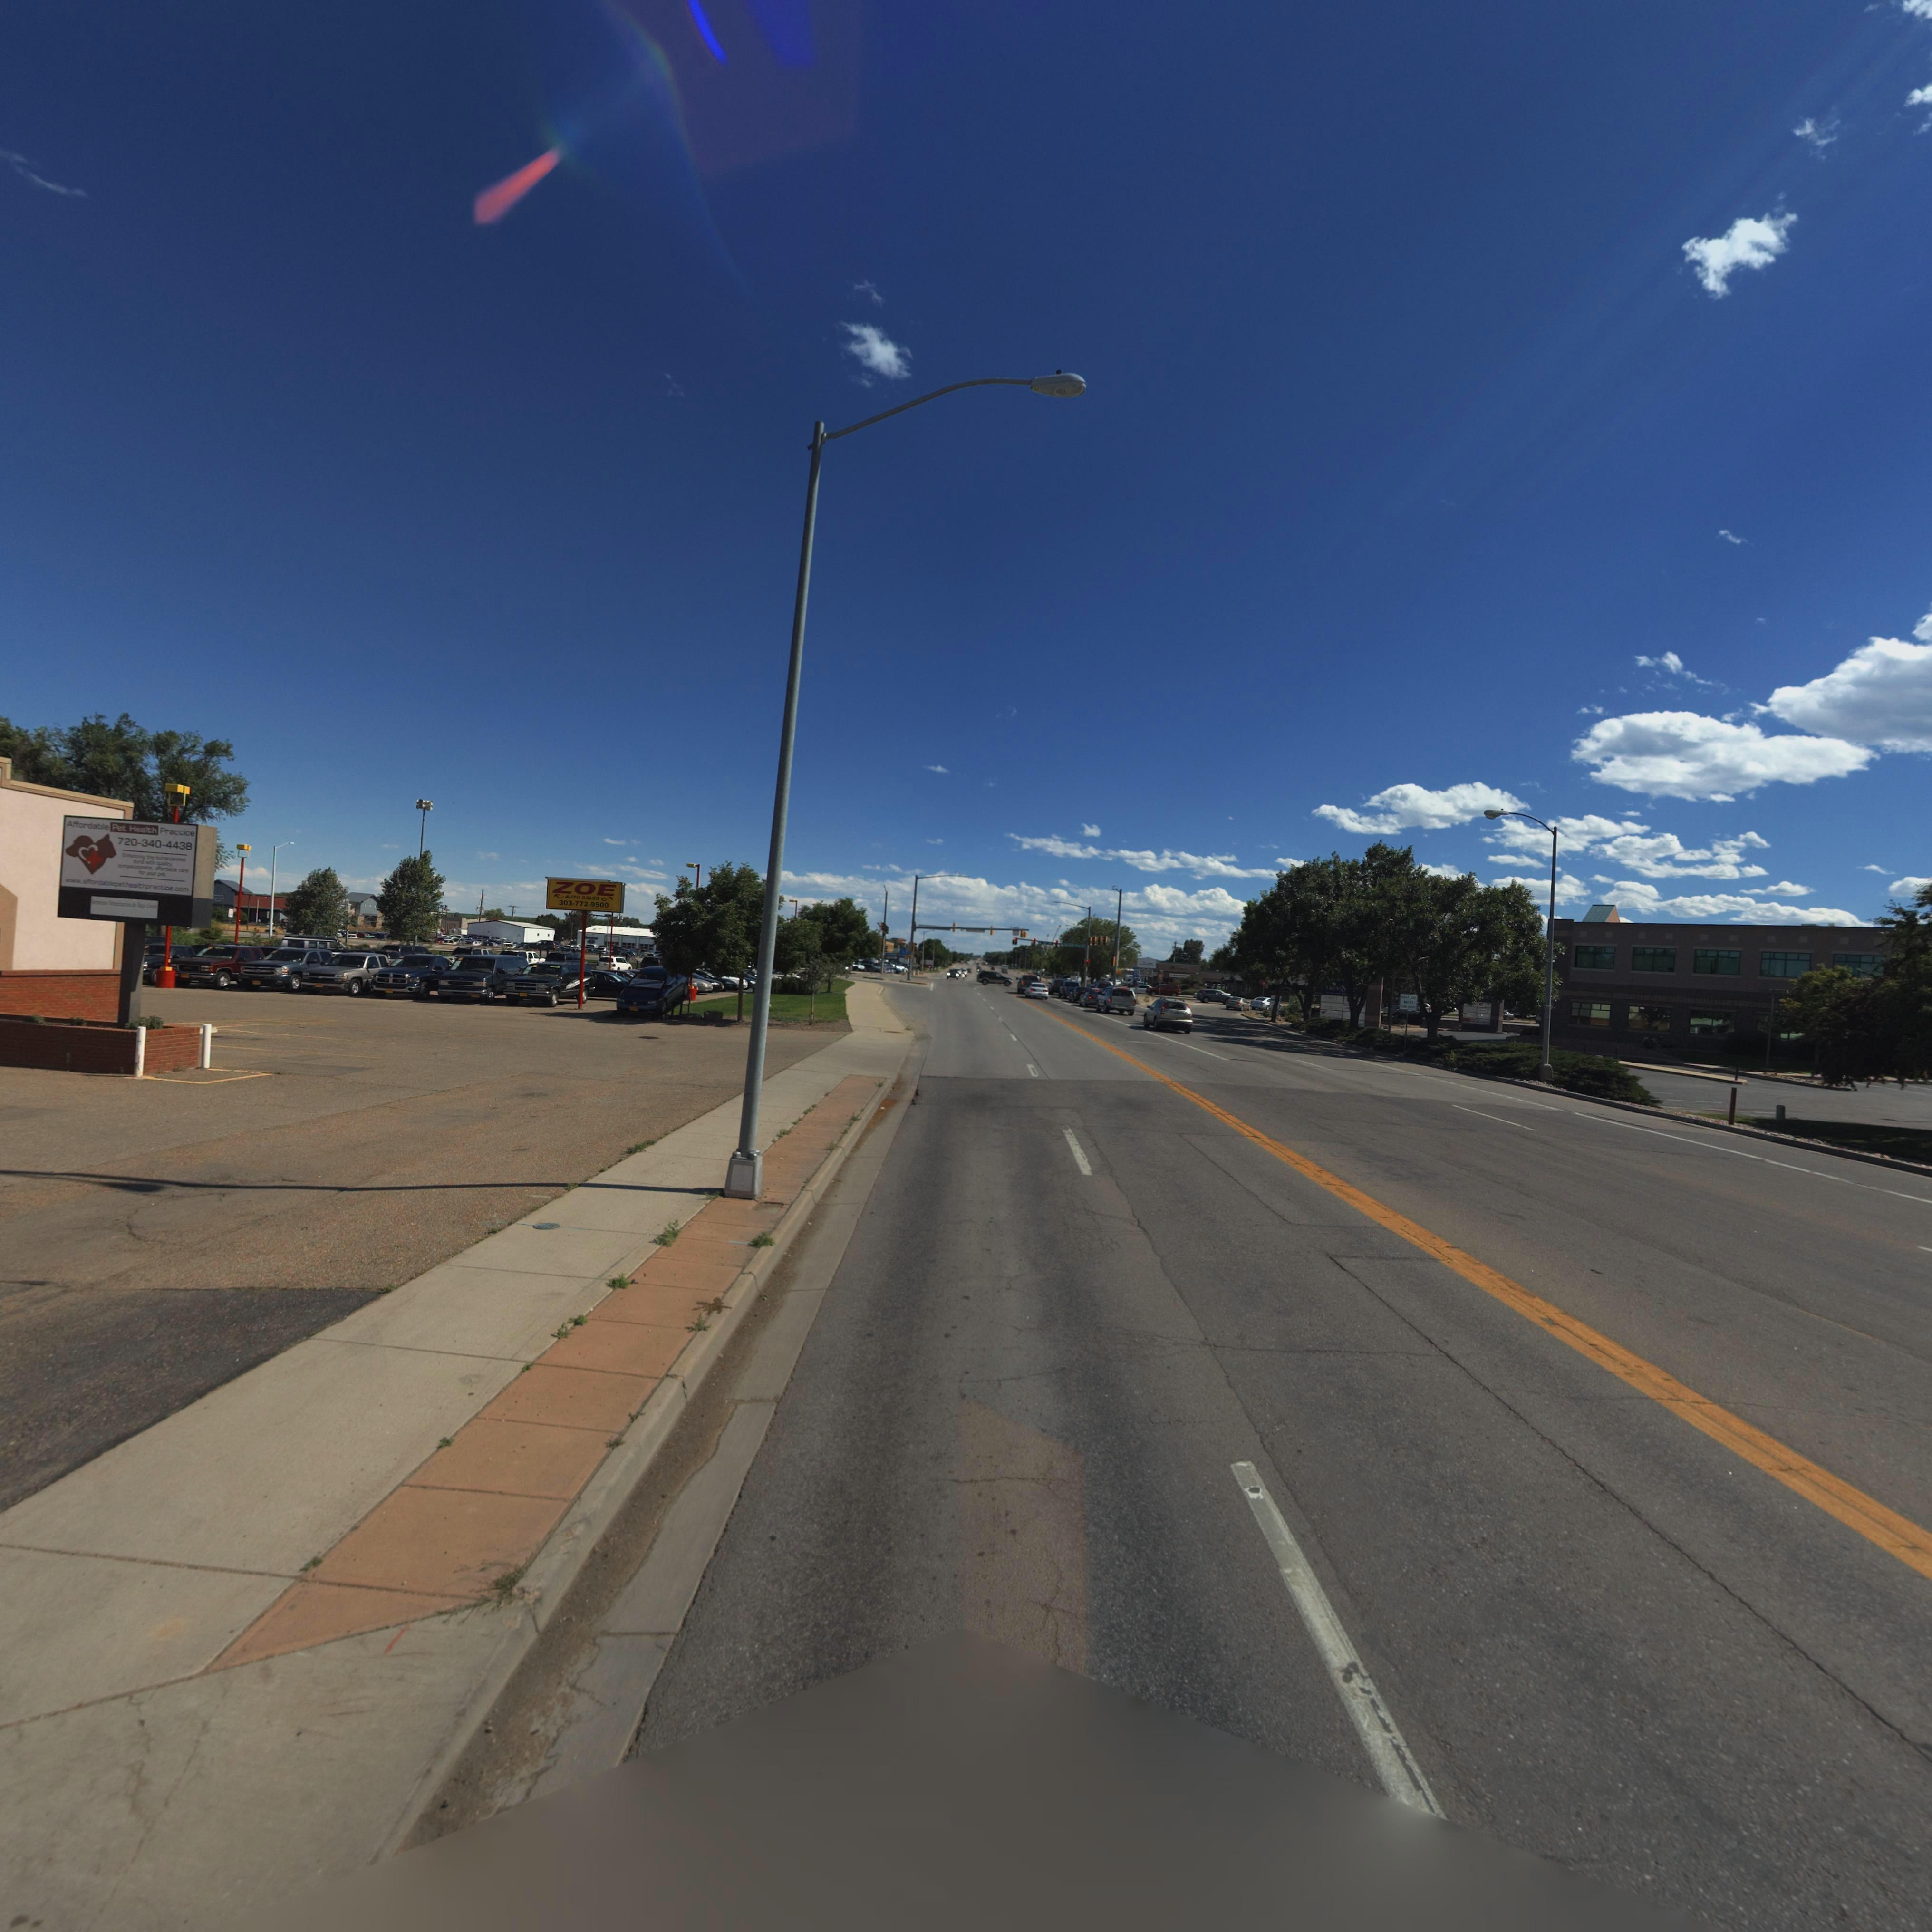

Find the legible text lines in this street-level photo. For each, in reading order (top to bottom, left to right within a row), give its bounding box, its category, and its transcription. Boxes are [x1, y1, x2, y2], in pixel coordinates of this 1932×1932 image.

[66, 820, 195, 837] BusinessName: Affordable Pet Health Practice
[552, 881, 617, 897] BusinessName: ZOE
[564, 894, 599, 900] BusinessName: AUTO SALES